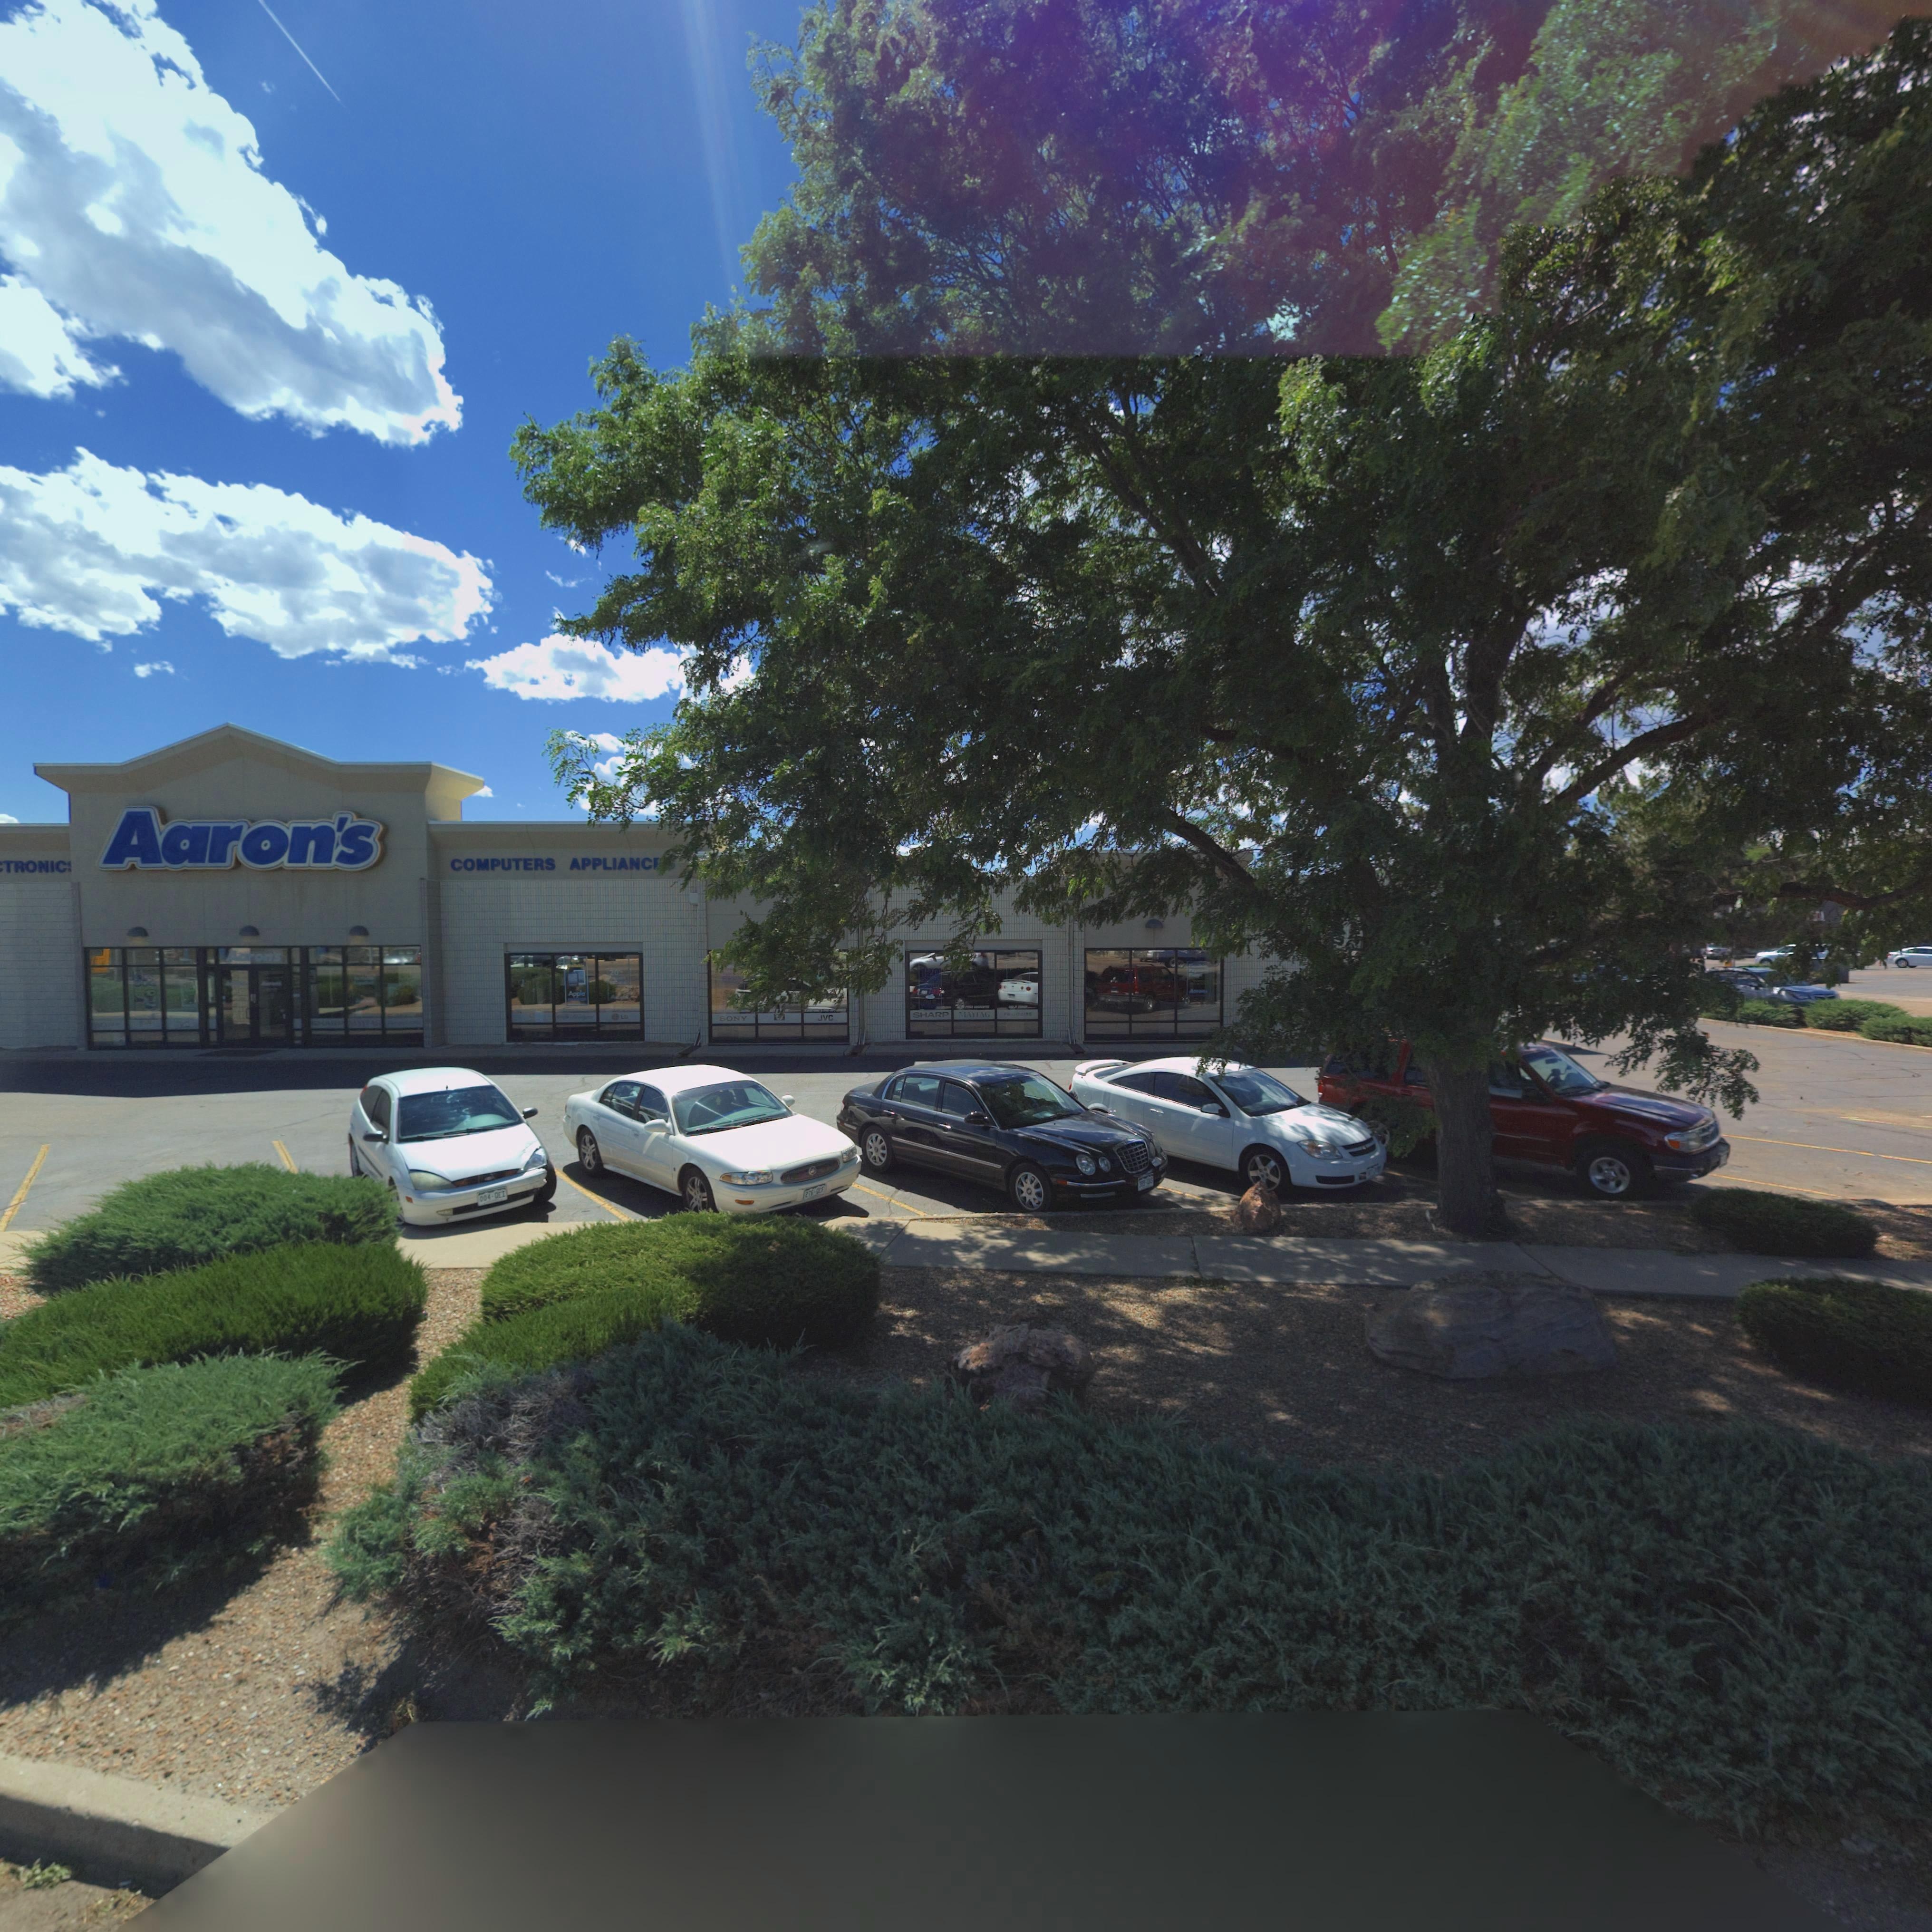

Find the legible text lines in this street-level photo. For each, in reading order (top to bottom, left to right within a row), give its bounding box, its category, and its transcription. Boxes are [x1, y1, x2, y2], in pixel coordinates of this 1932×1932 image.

[94, 805, 383, 869] BusinessName: Aaron*s
[450, 858, 659, 871] BusinessName: COMPUTERS  APPLIANCE
[224, 949, 281, 963] BusinessName: Aaron*s